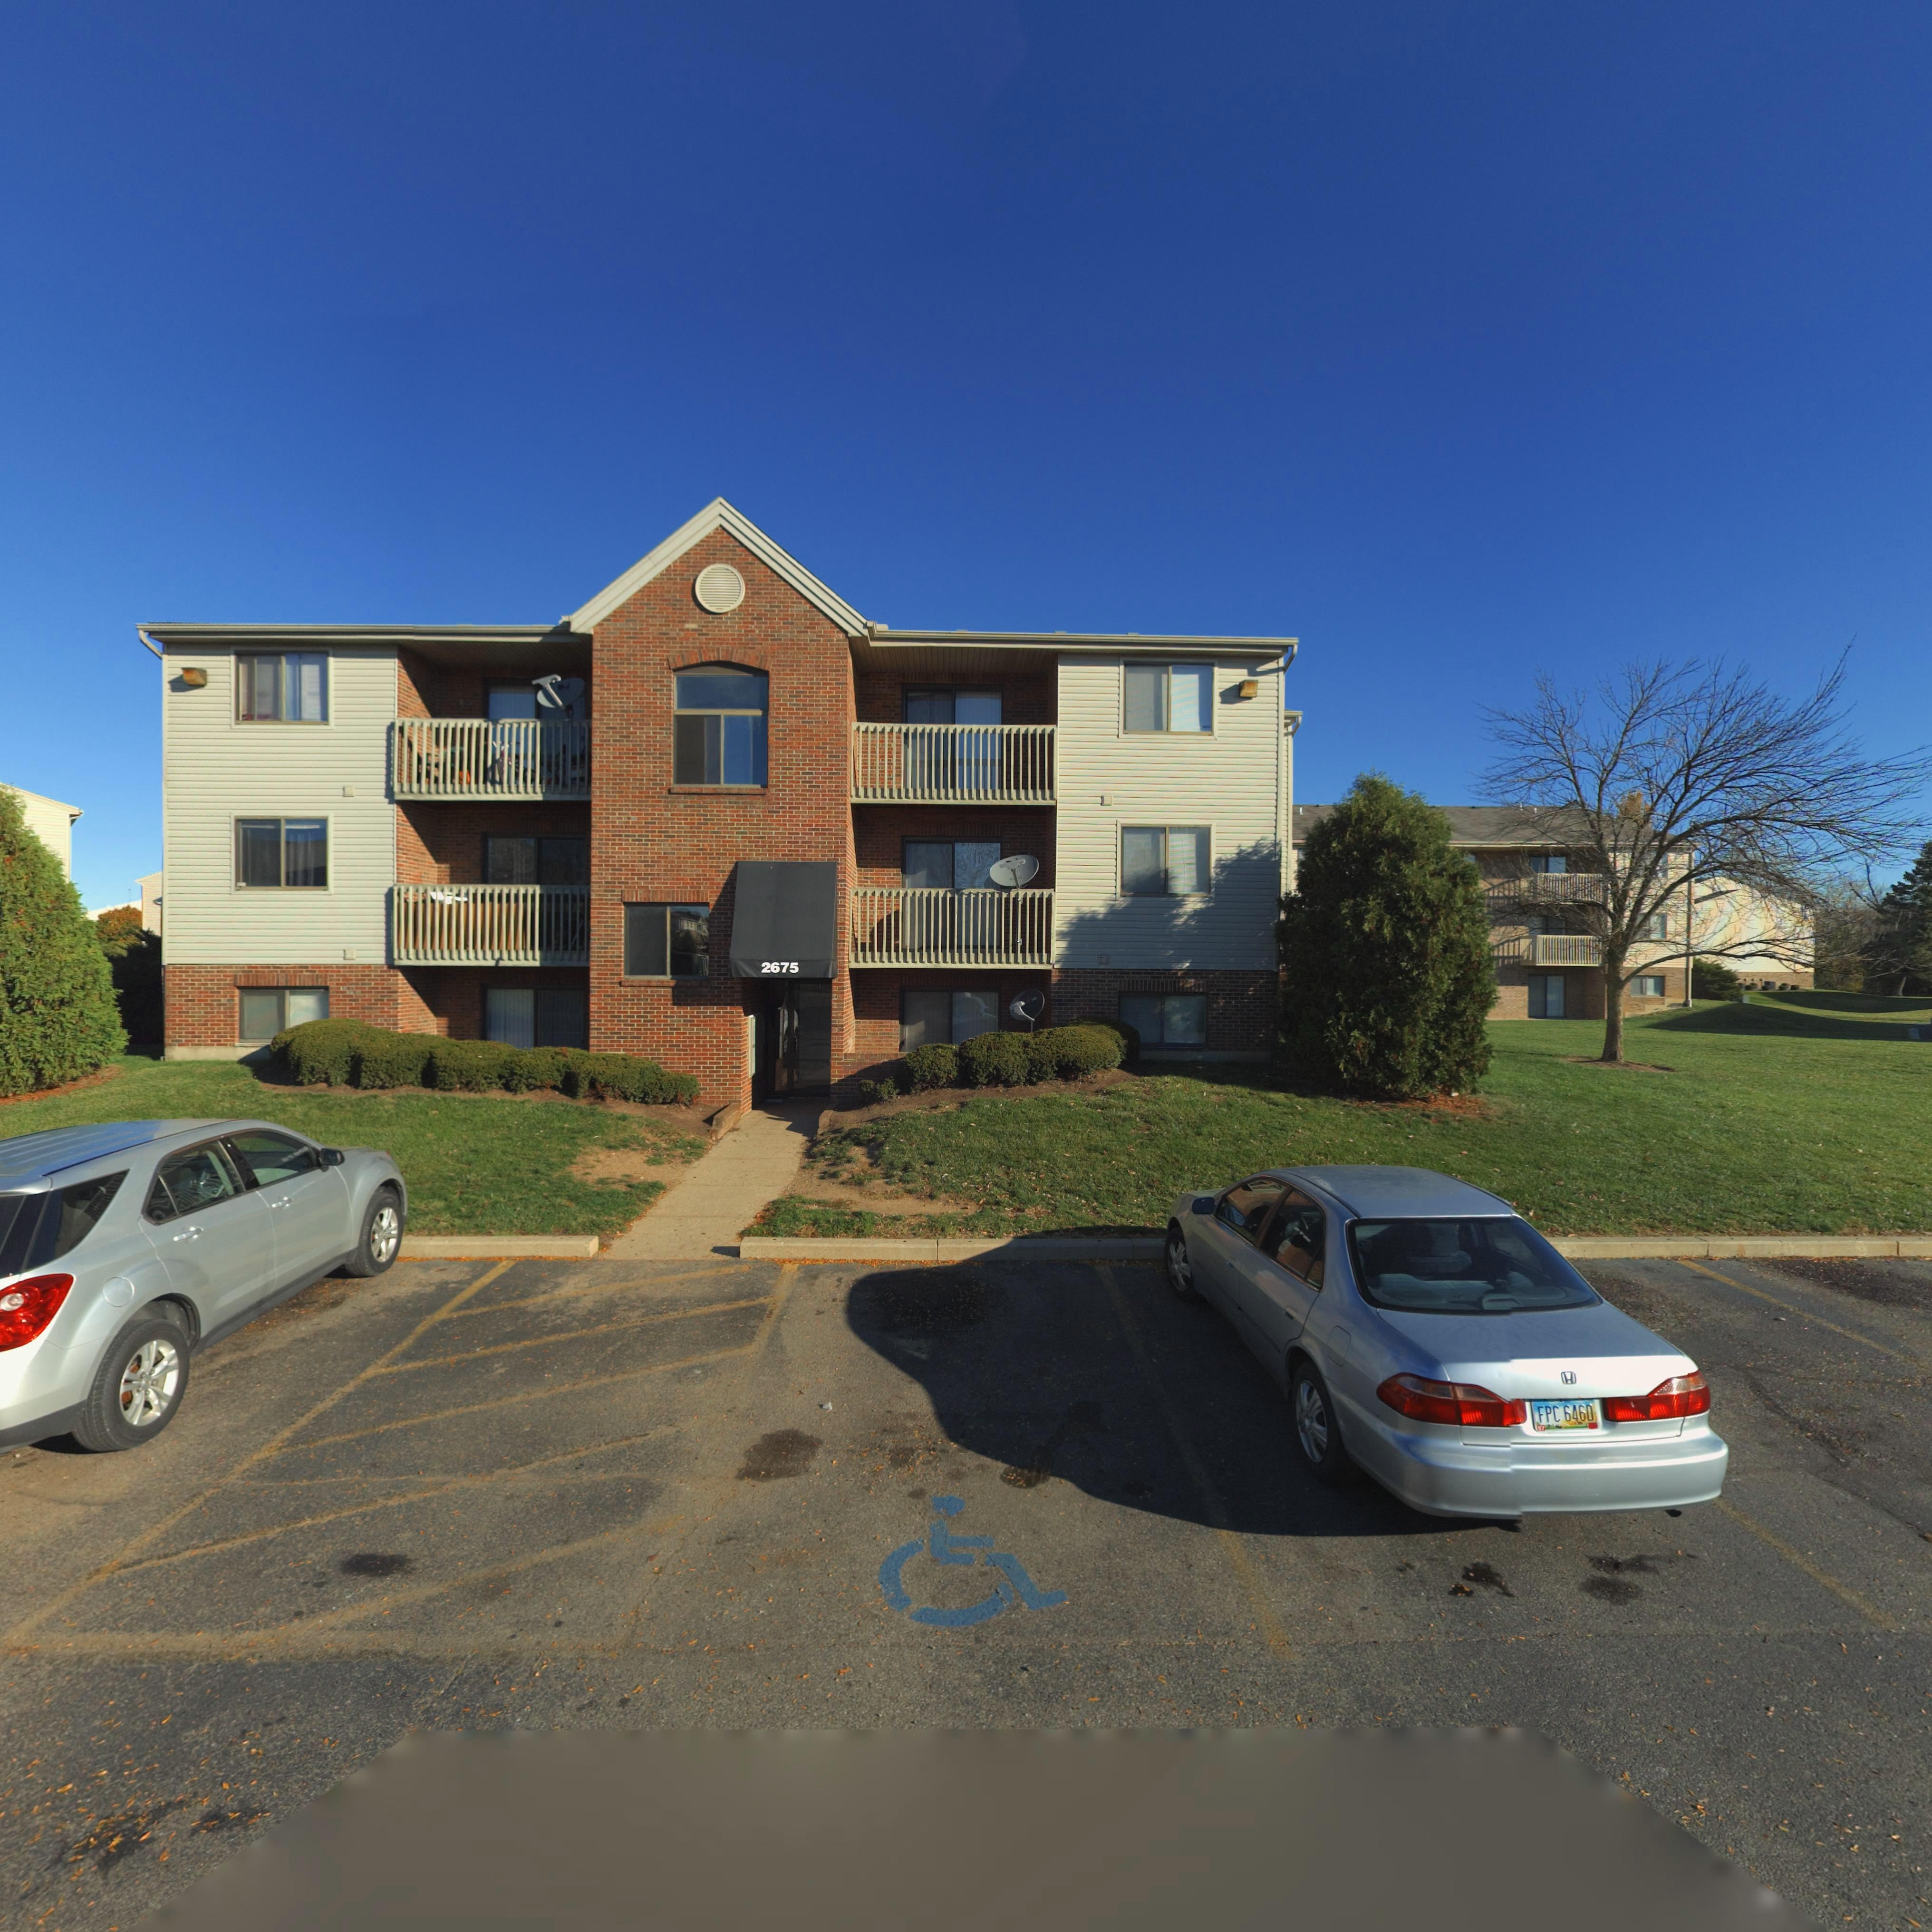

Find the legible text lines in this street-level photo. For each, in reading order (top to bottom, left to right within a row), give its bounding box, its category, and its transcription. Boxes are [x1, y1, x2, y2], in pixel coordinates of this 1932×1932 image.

[761, 961, 799, 974] StreetNumber: 2675